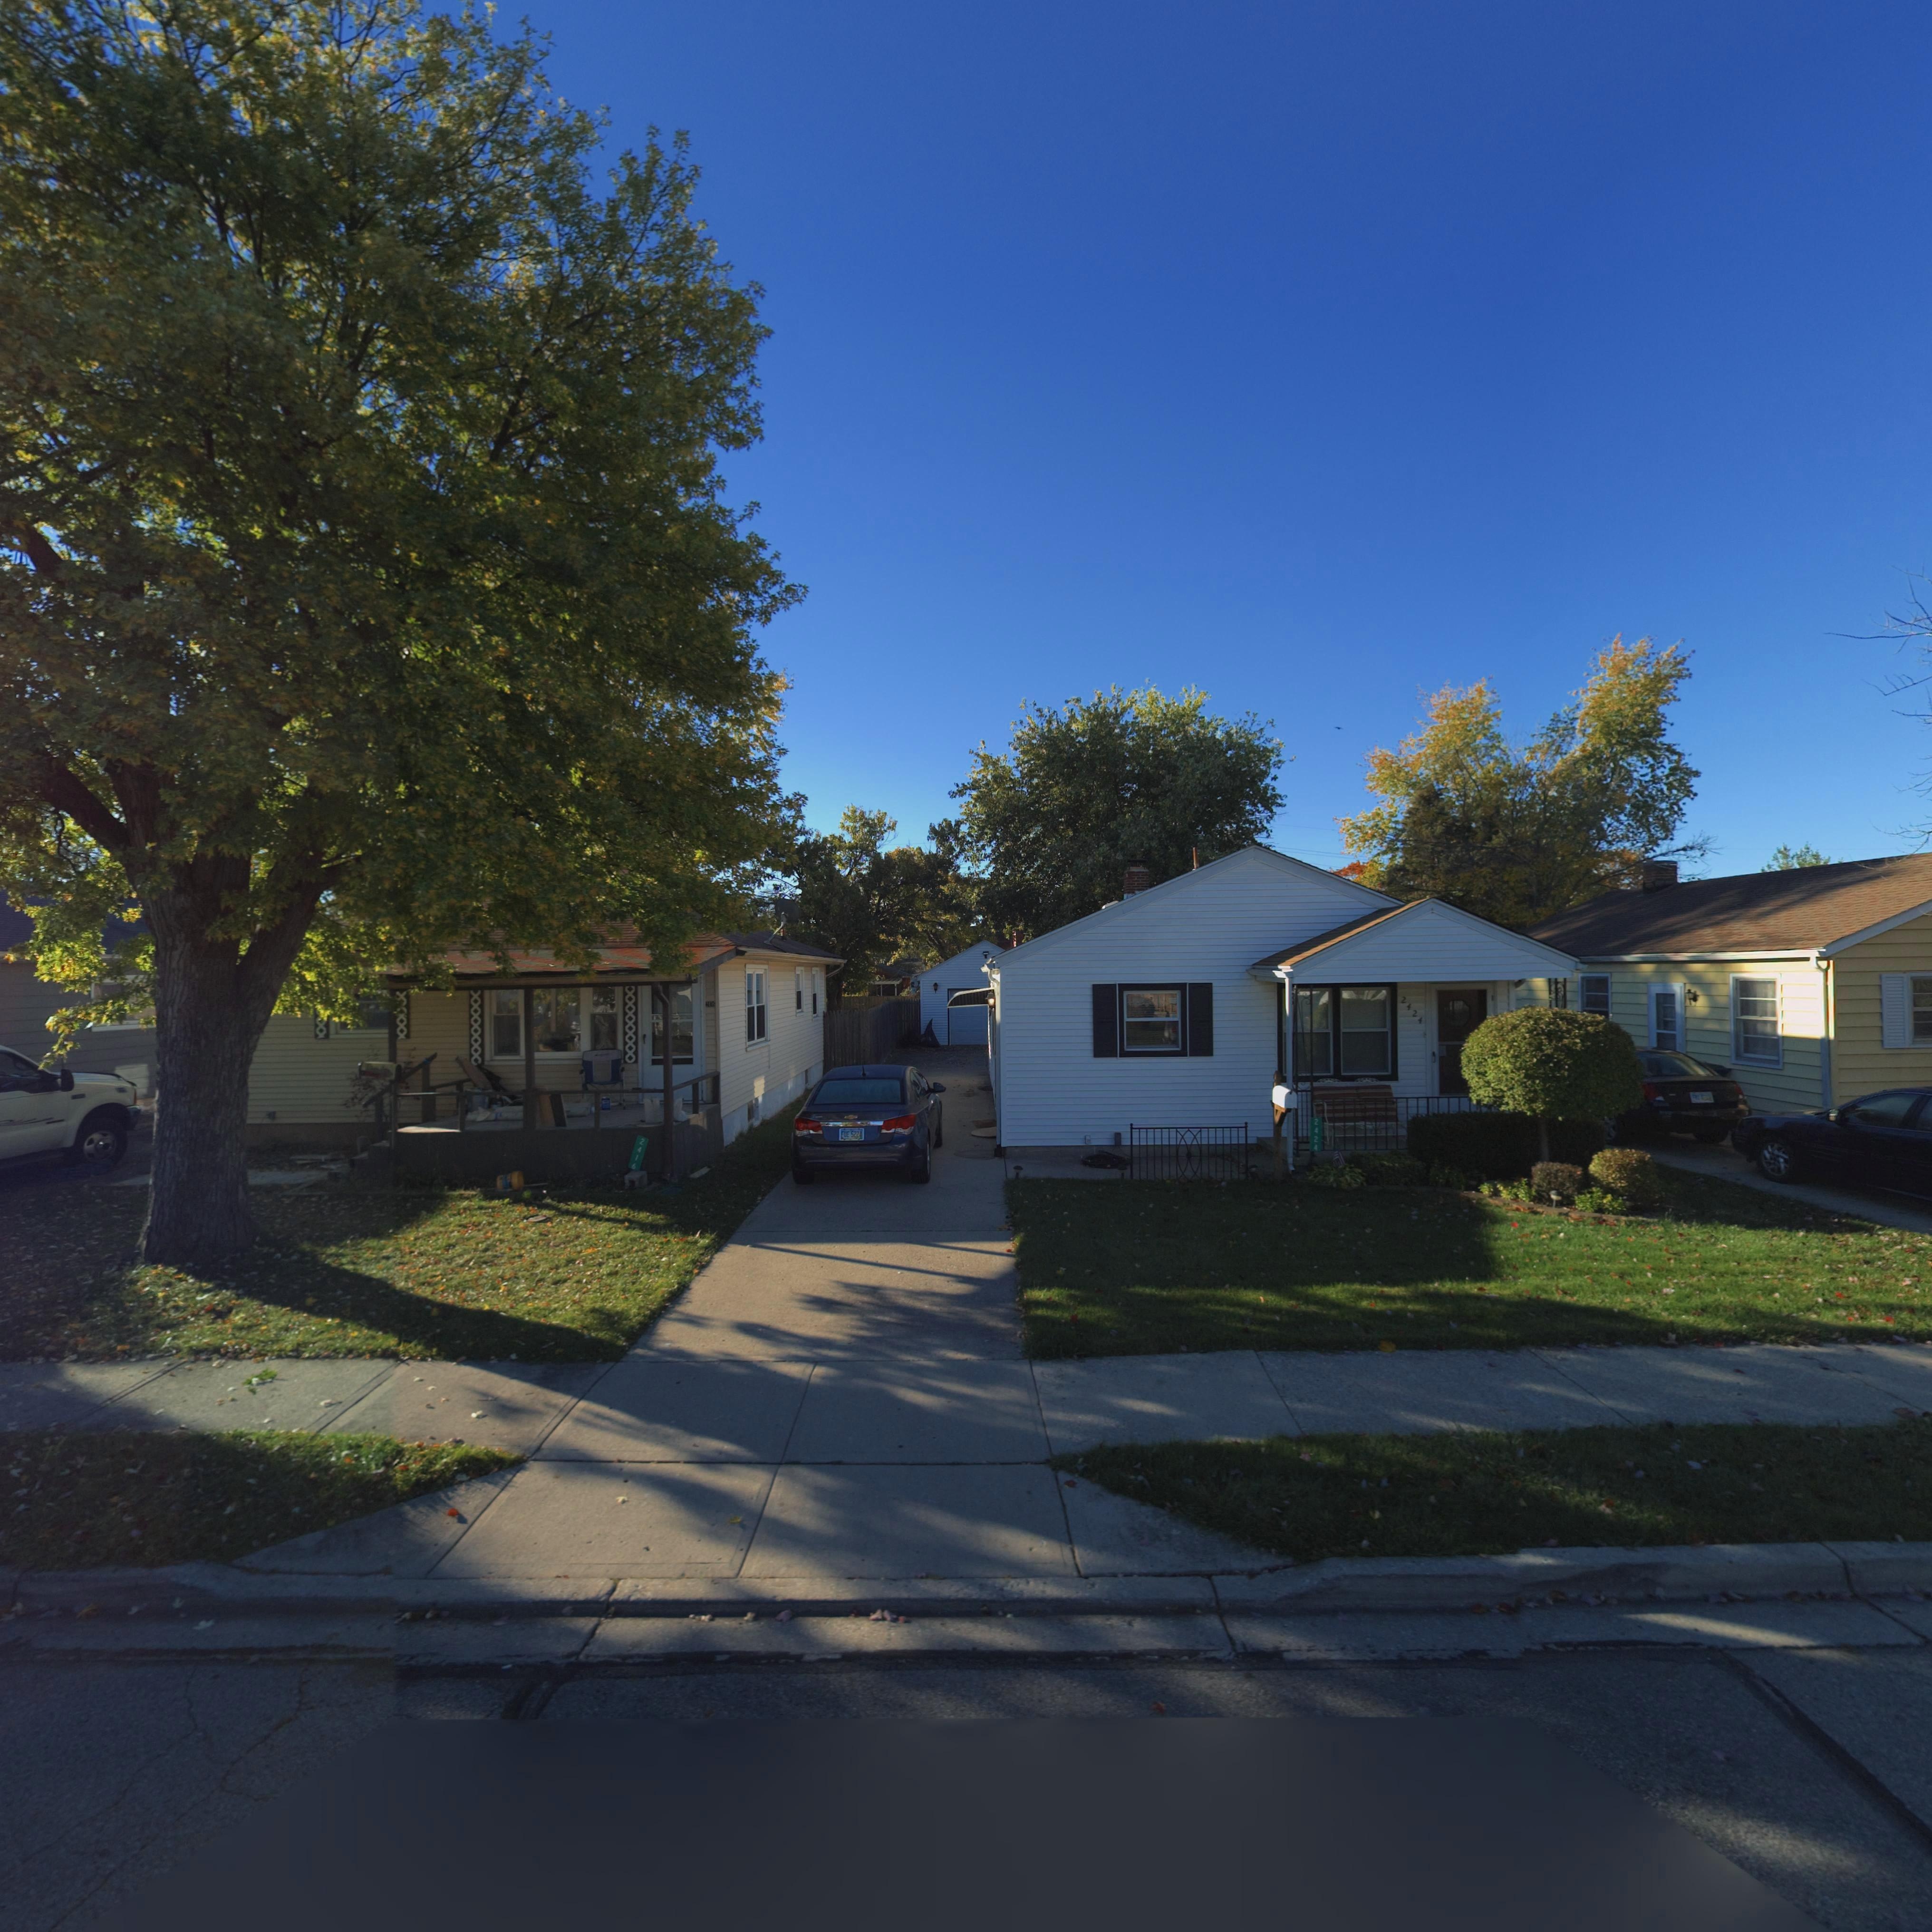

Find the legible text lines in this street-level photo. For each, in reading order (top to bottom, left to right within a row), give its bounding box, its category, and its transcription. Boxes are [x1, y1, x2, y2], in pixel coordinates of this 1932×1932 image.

[705, 1001, 716, 1007] StreetNumber: 2416
[1401, 995, 1424, 1024] StreetNumber: 2424
[1313, 1117, 1319, 1152] StreetNumber: 2424
[629, 1137, 646, 1171] StreetNumber: 2416